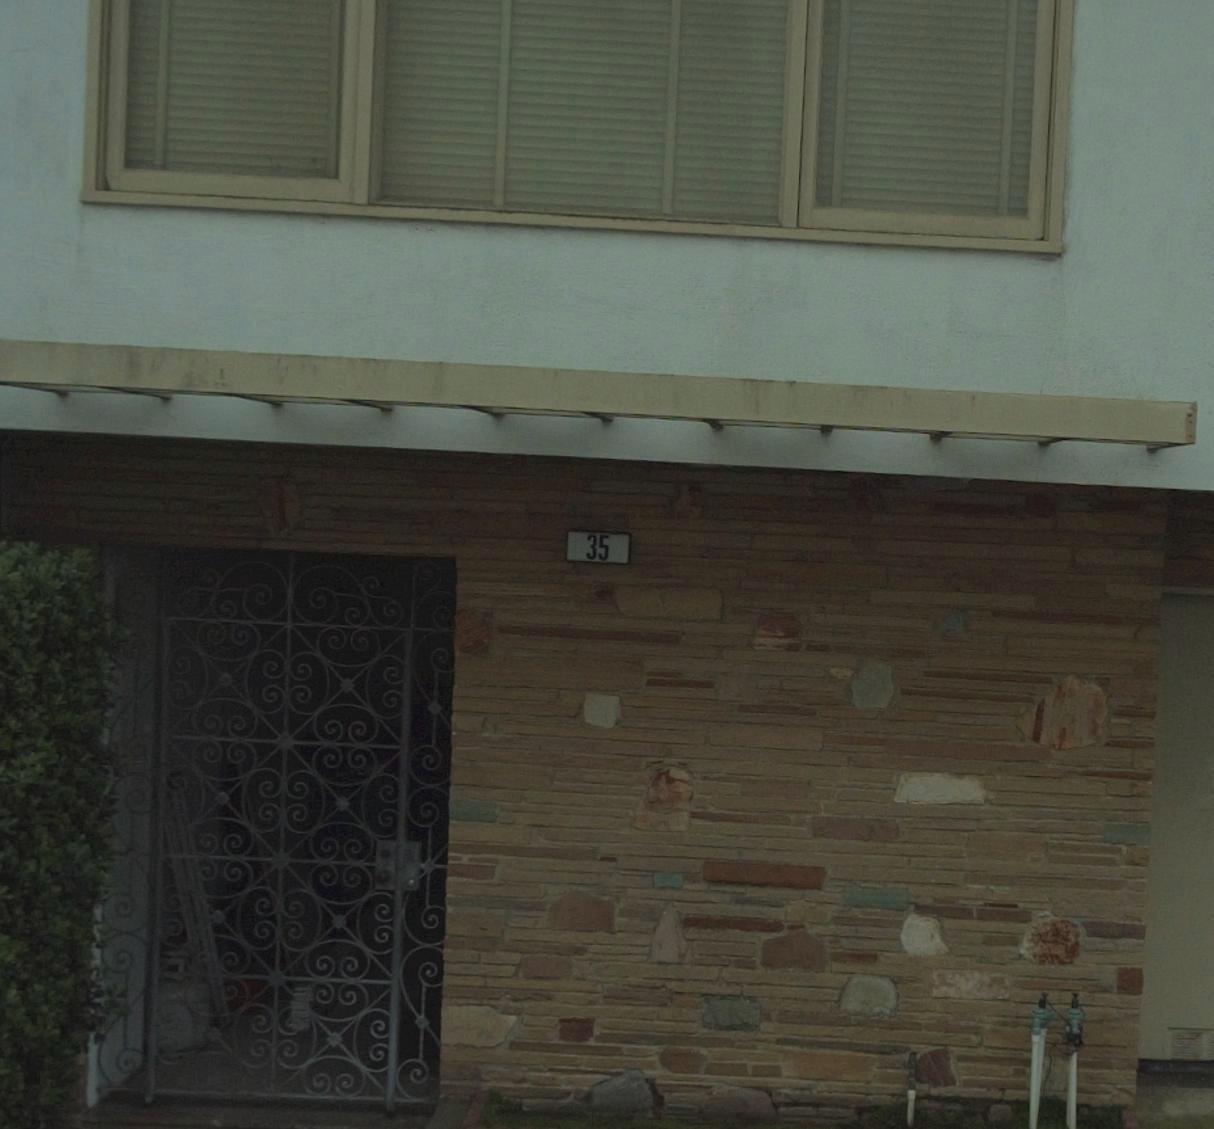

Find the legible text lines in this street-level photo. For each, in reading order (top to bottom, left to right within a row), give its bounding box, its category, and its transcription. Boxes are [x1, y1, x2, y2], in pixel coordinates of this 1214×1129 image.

[585, 533, 610, 562] StreetNumber: 35